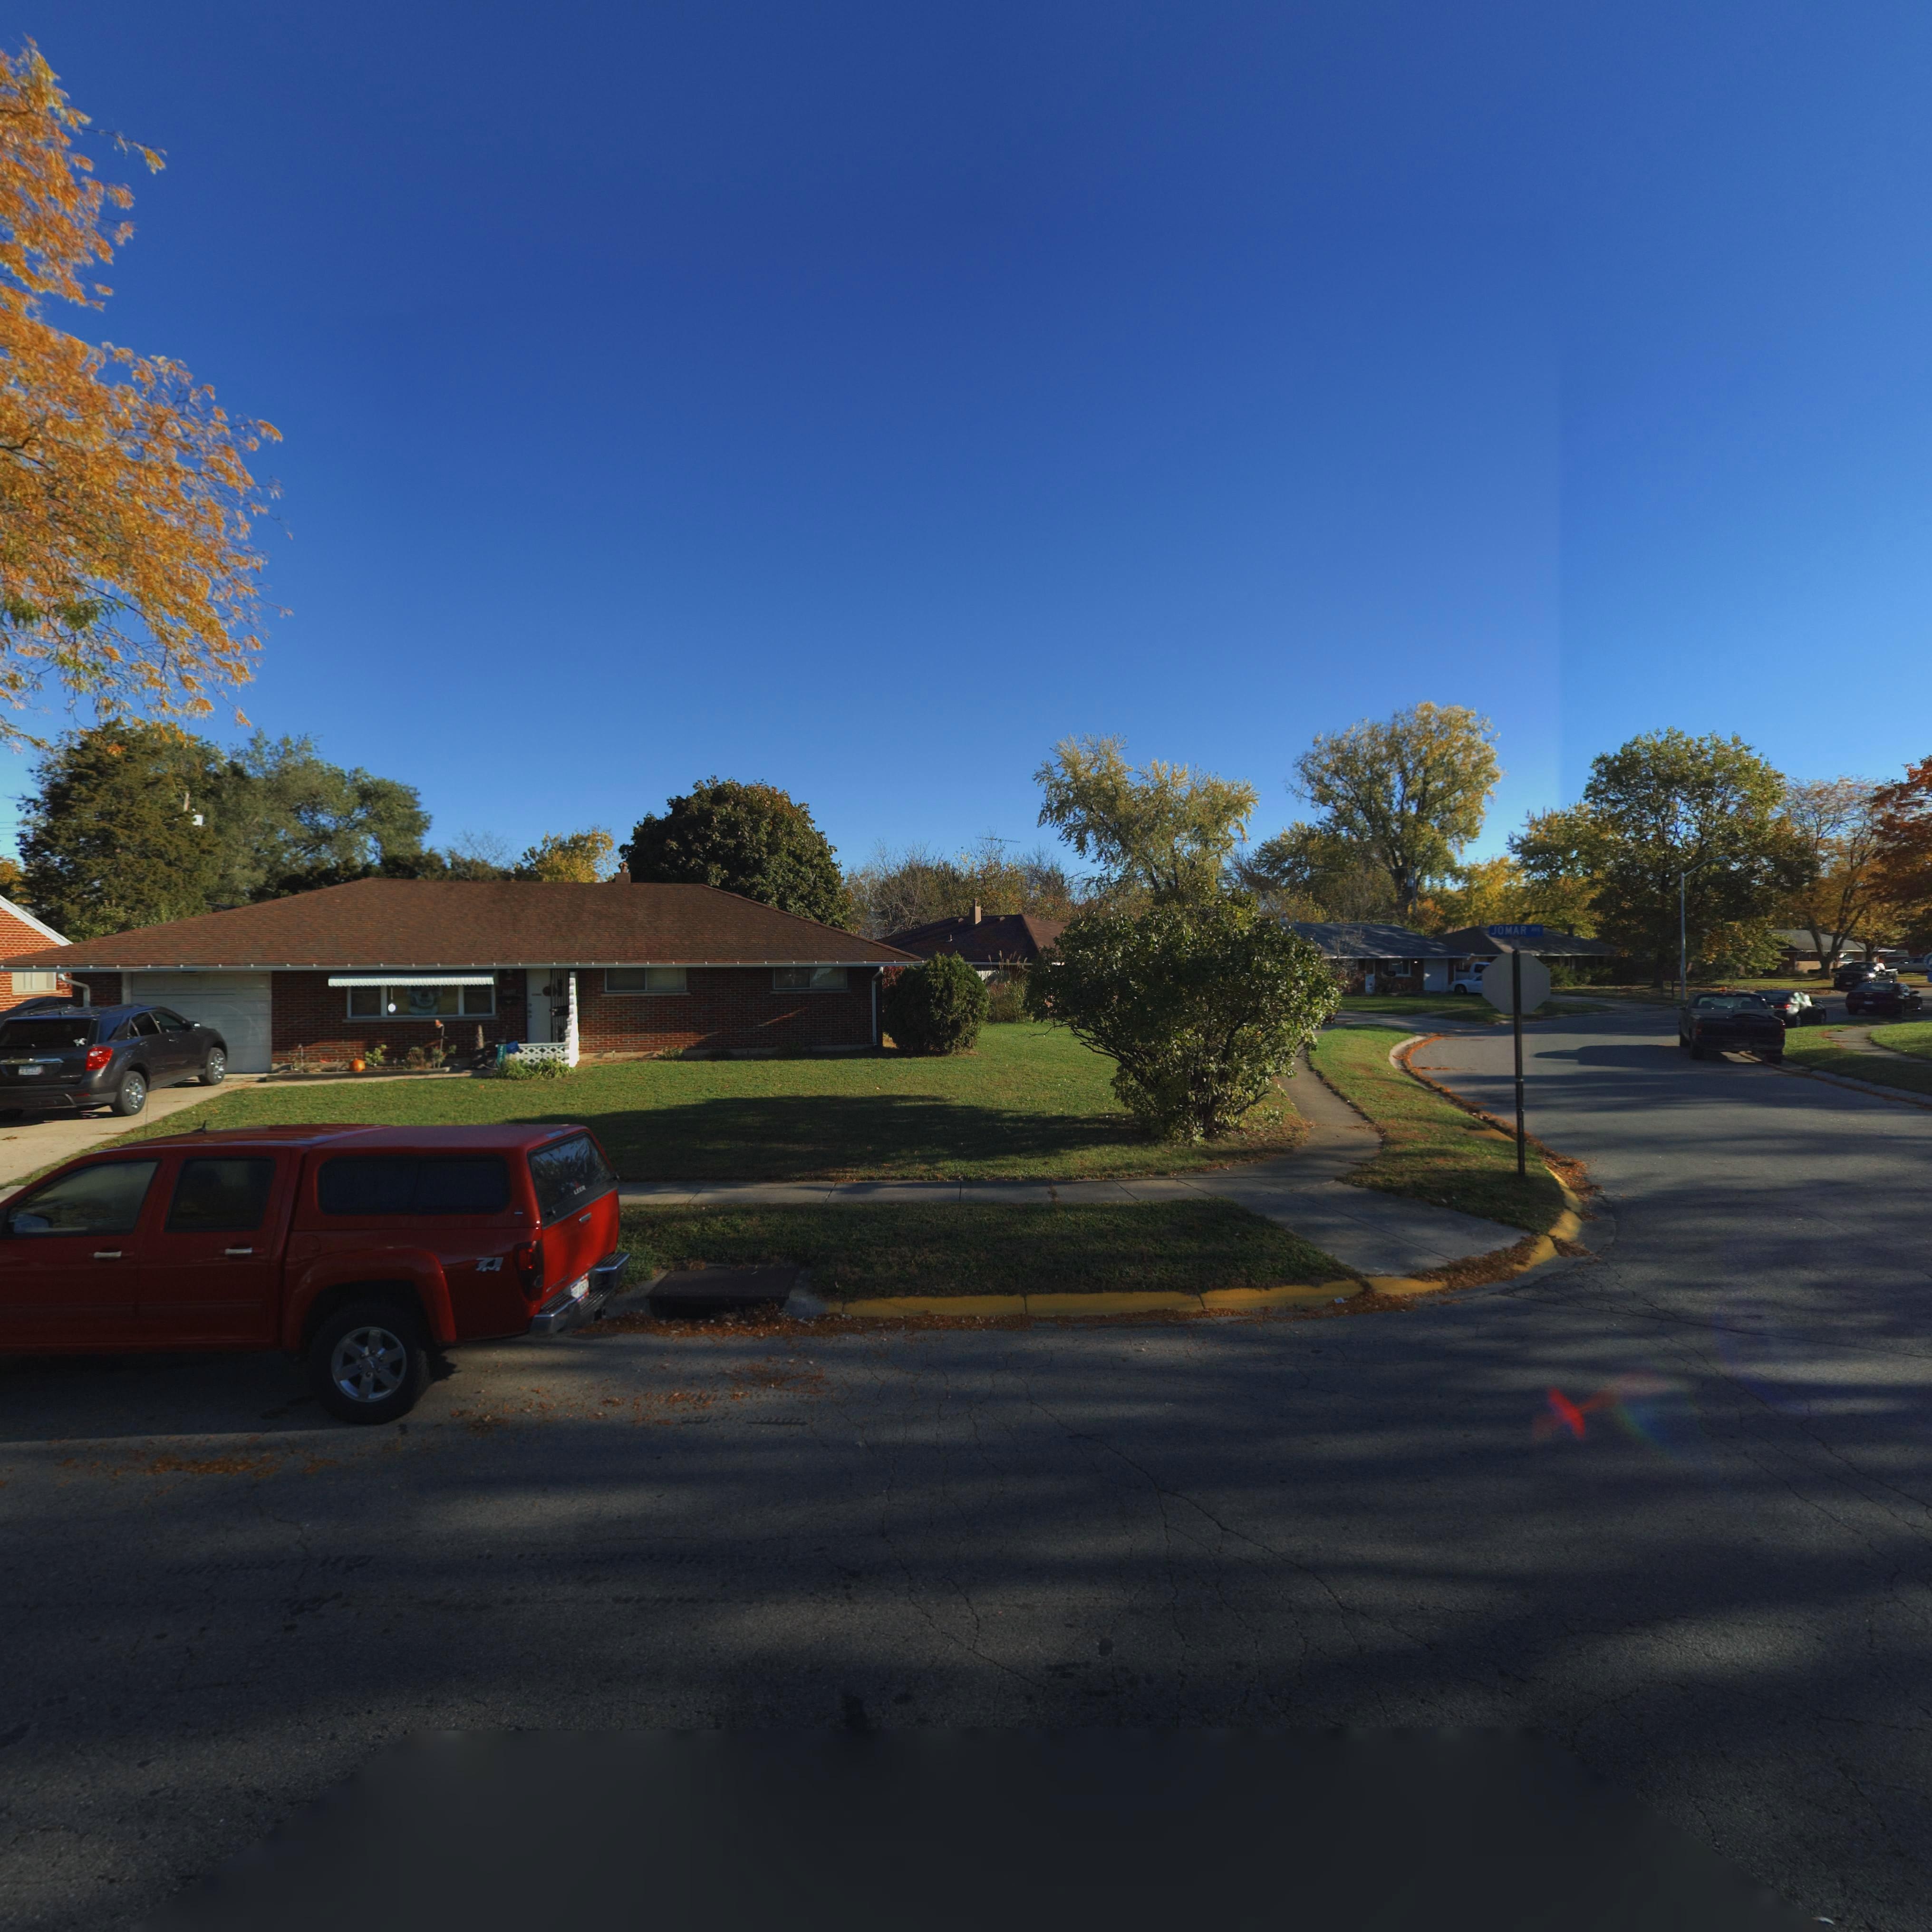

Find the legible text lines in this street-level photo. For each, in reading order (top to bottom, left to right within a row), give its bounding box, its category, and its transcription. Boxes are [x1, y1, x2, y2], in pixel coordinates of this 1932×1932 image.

[498, 1045, 504, 1057] StreetNumber: 27